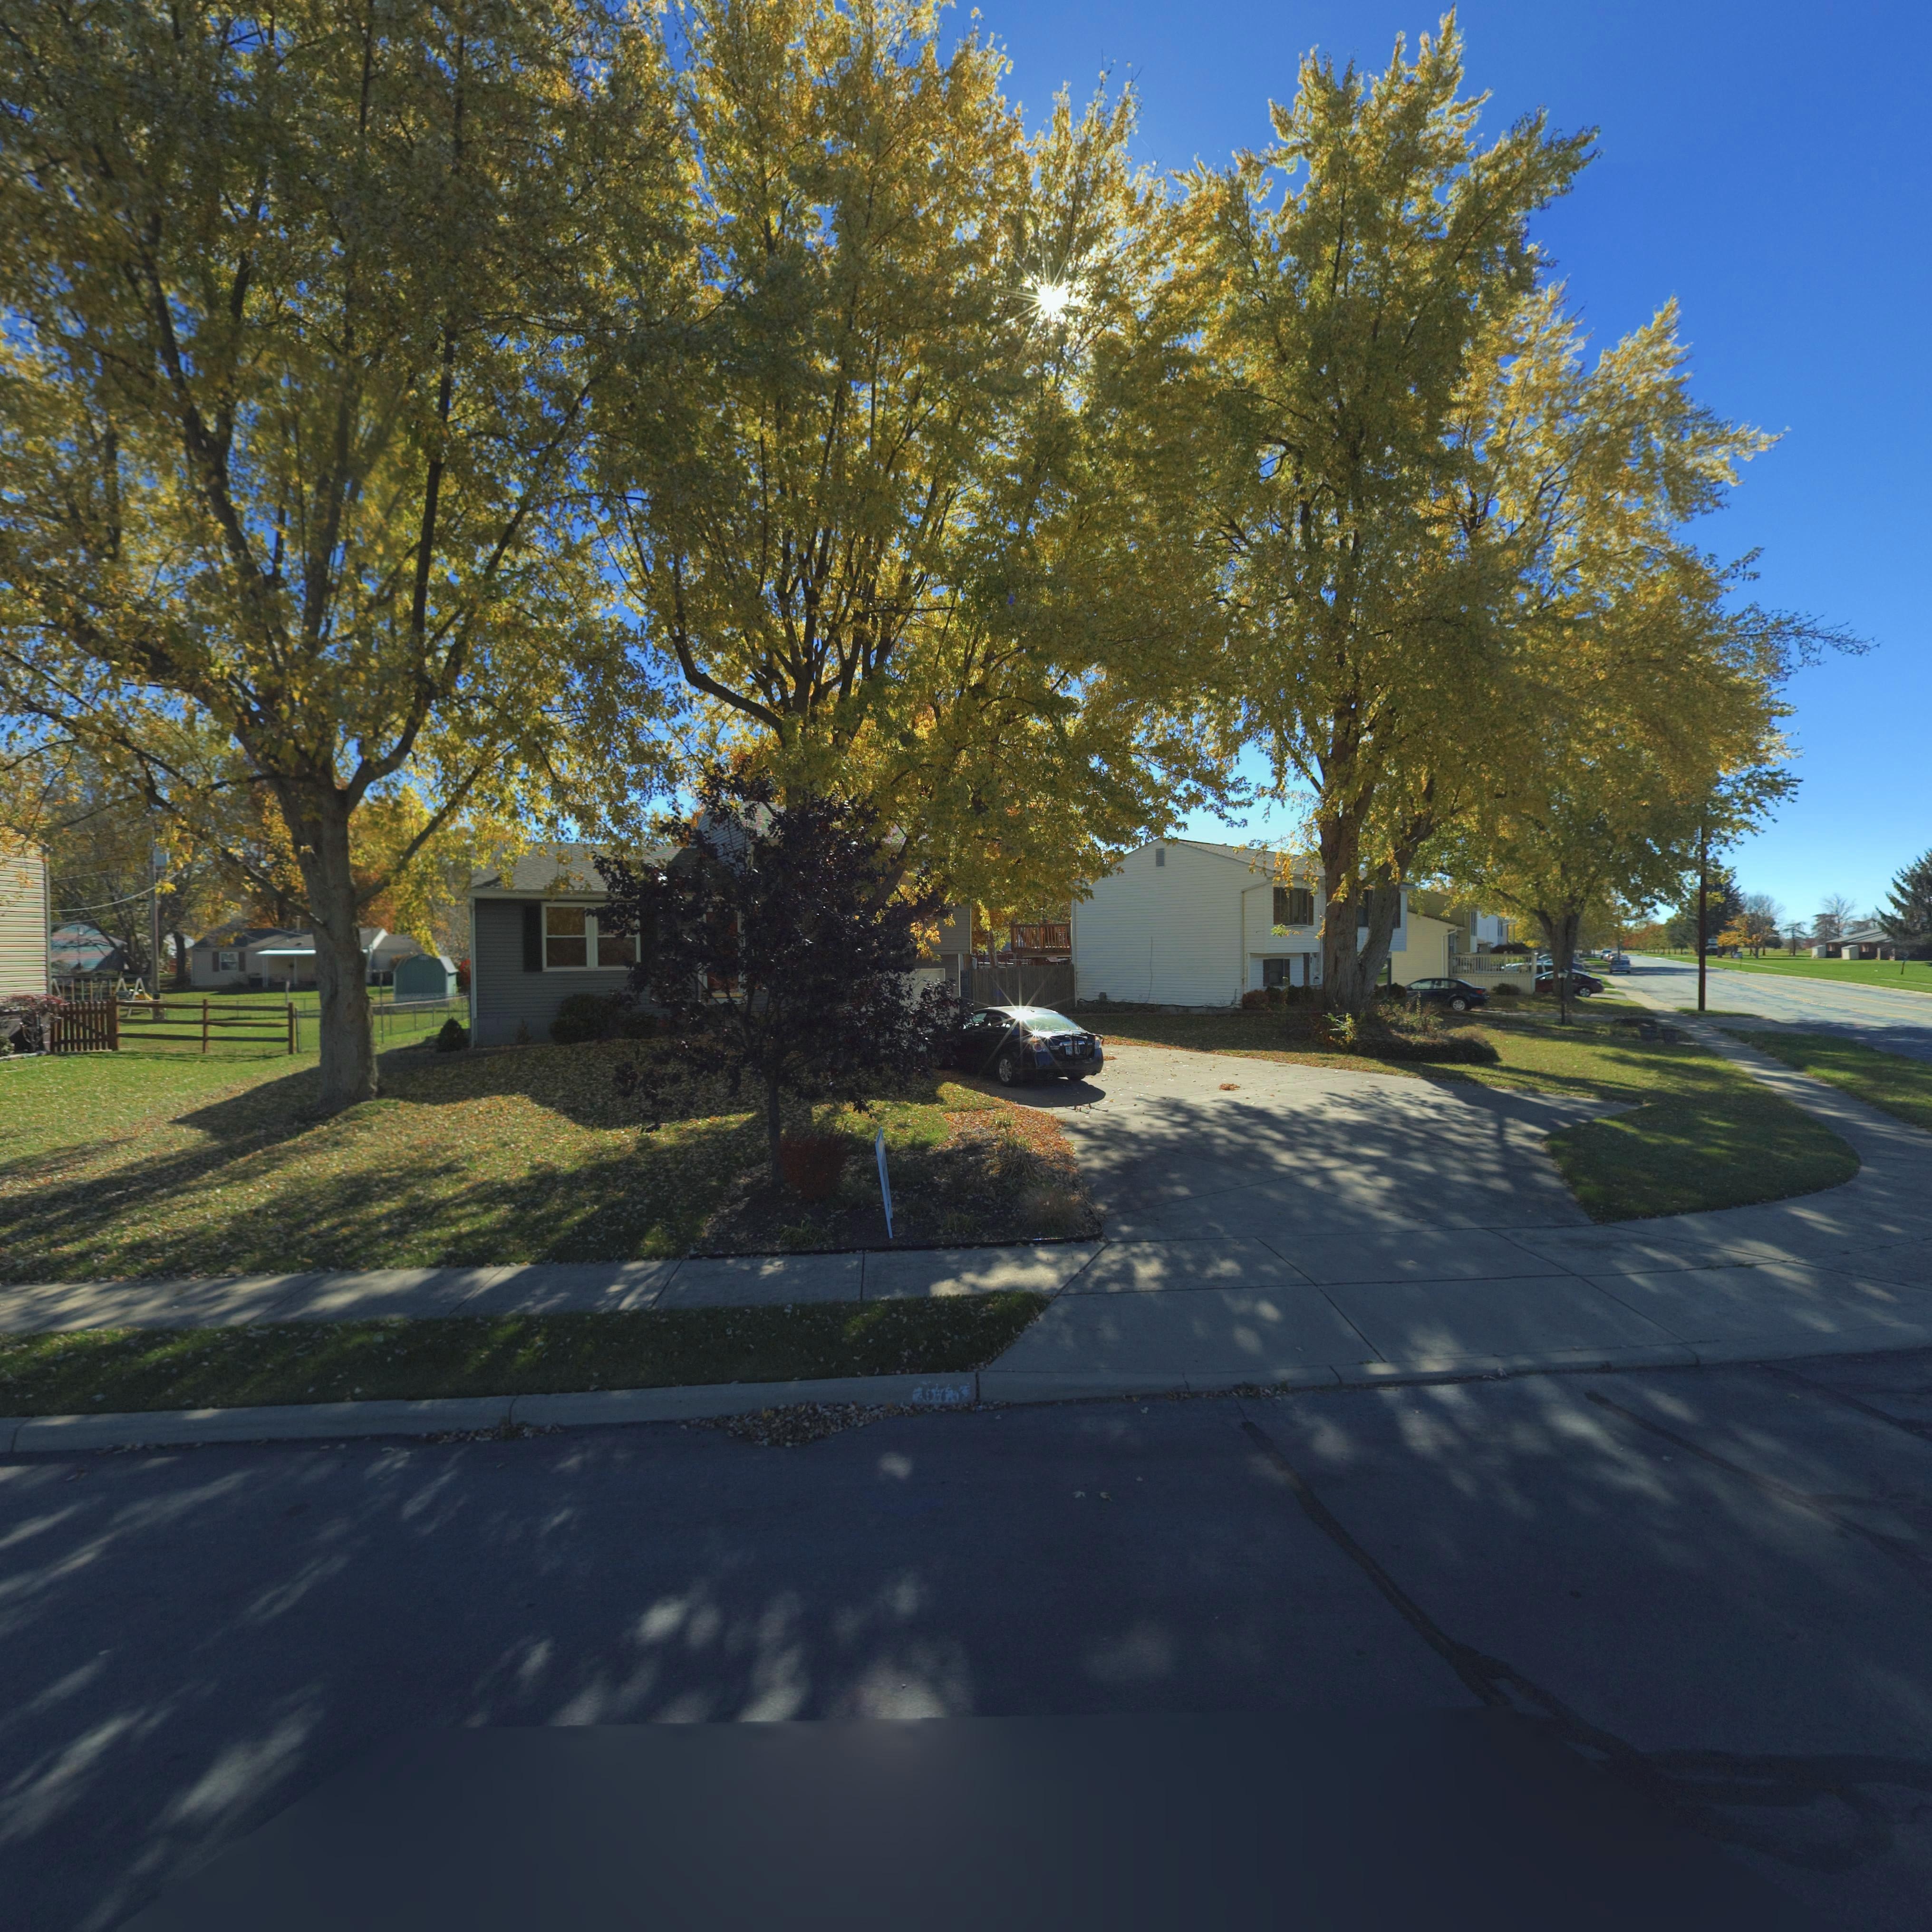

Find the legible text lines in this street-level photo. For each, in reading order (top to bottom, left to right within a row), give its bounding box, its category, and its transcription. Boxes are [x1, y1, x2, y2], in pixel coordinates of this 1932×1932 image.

[919, 1383, 965, 1403] StreetNumber: 675